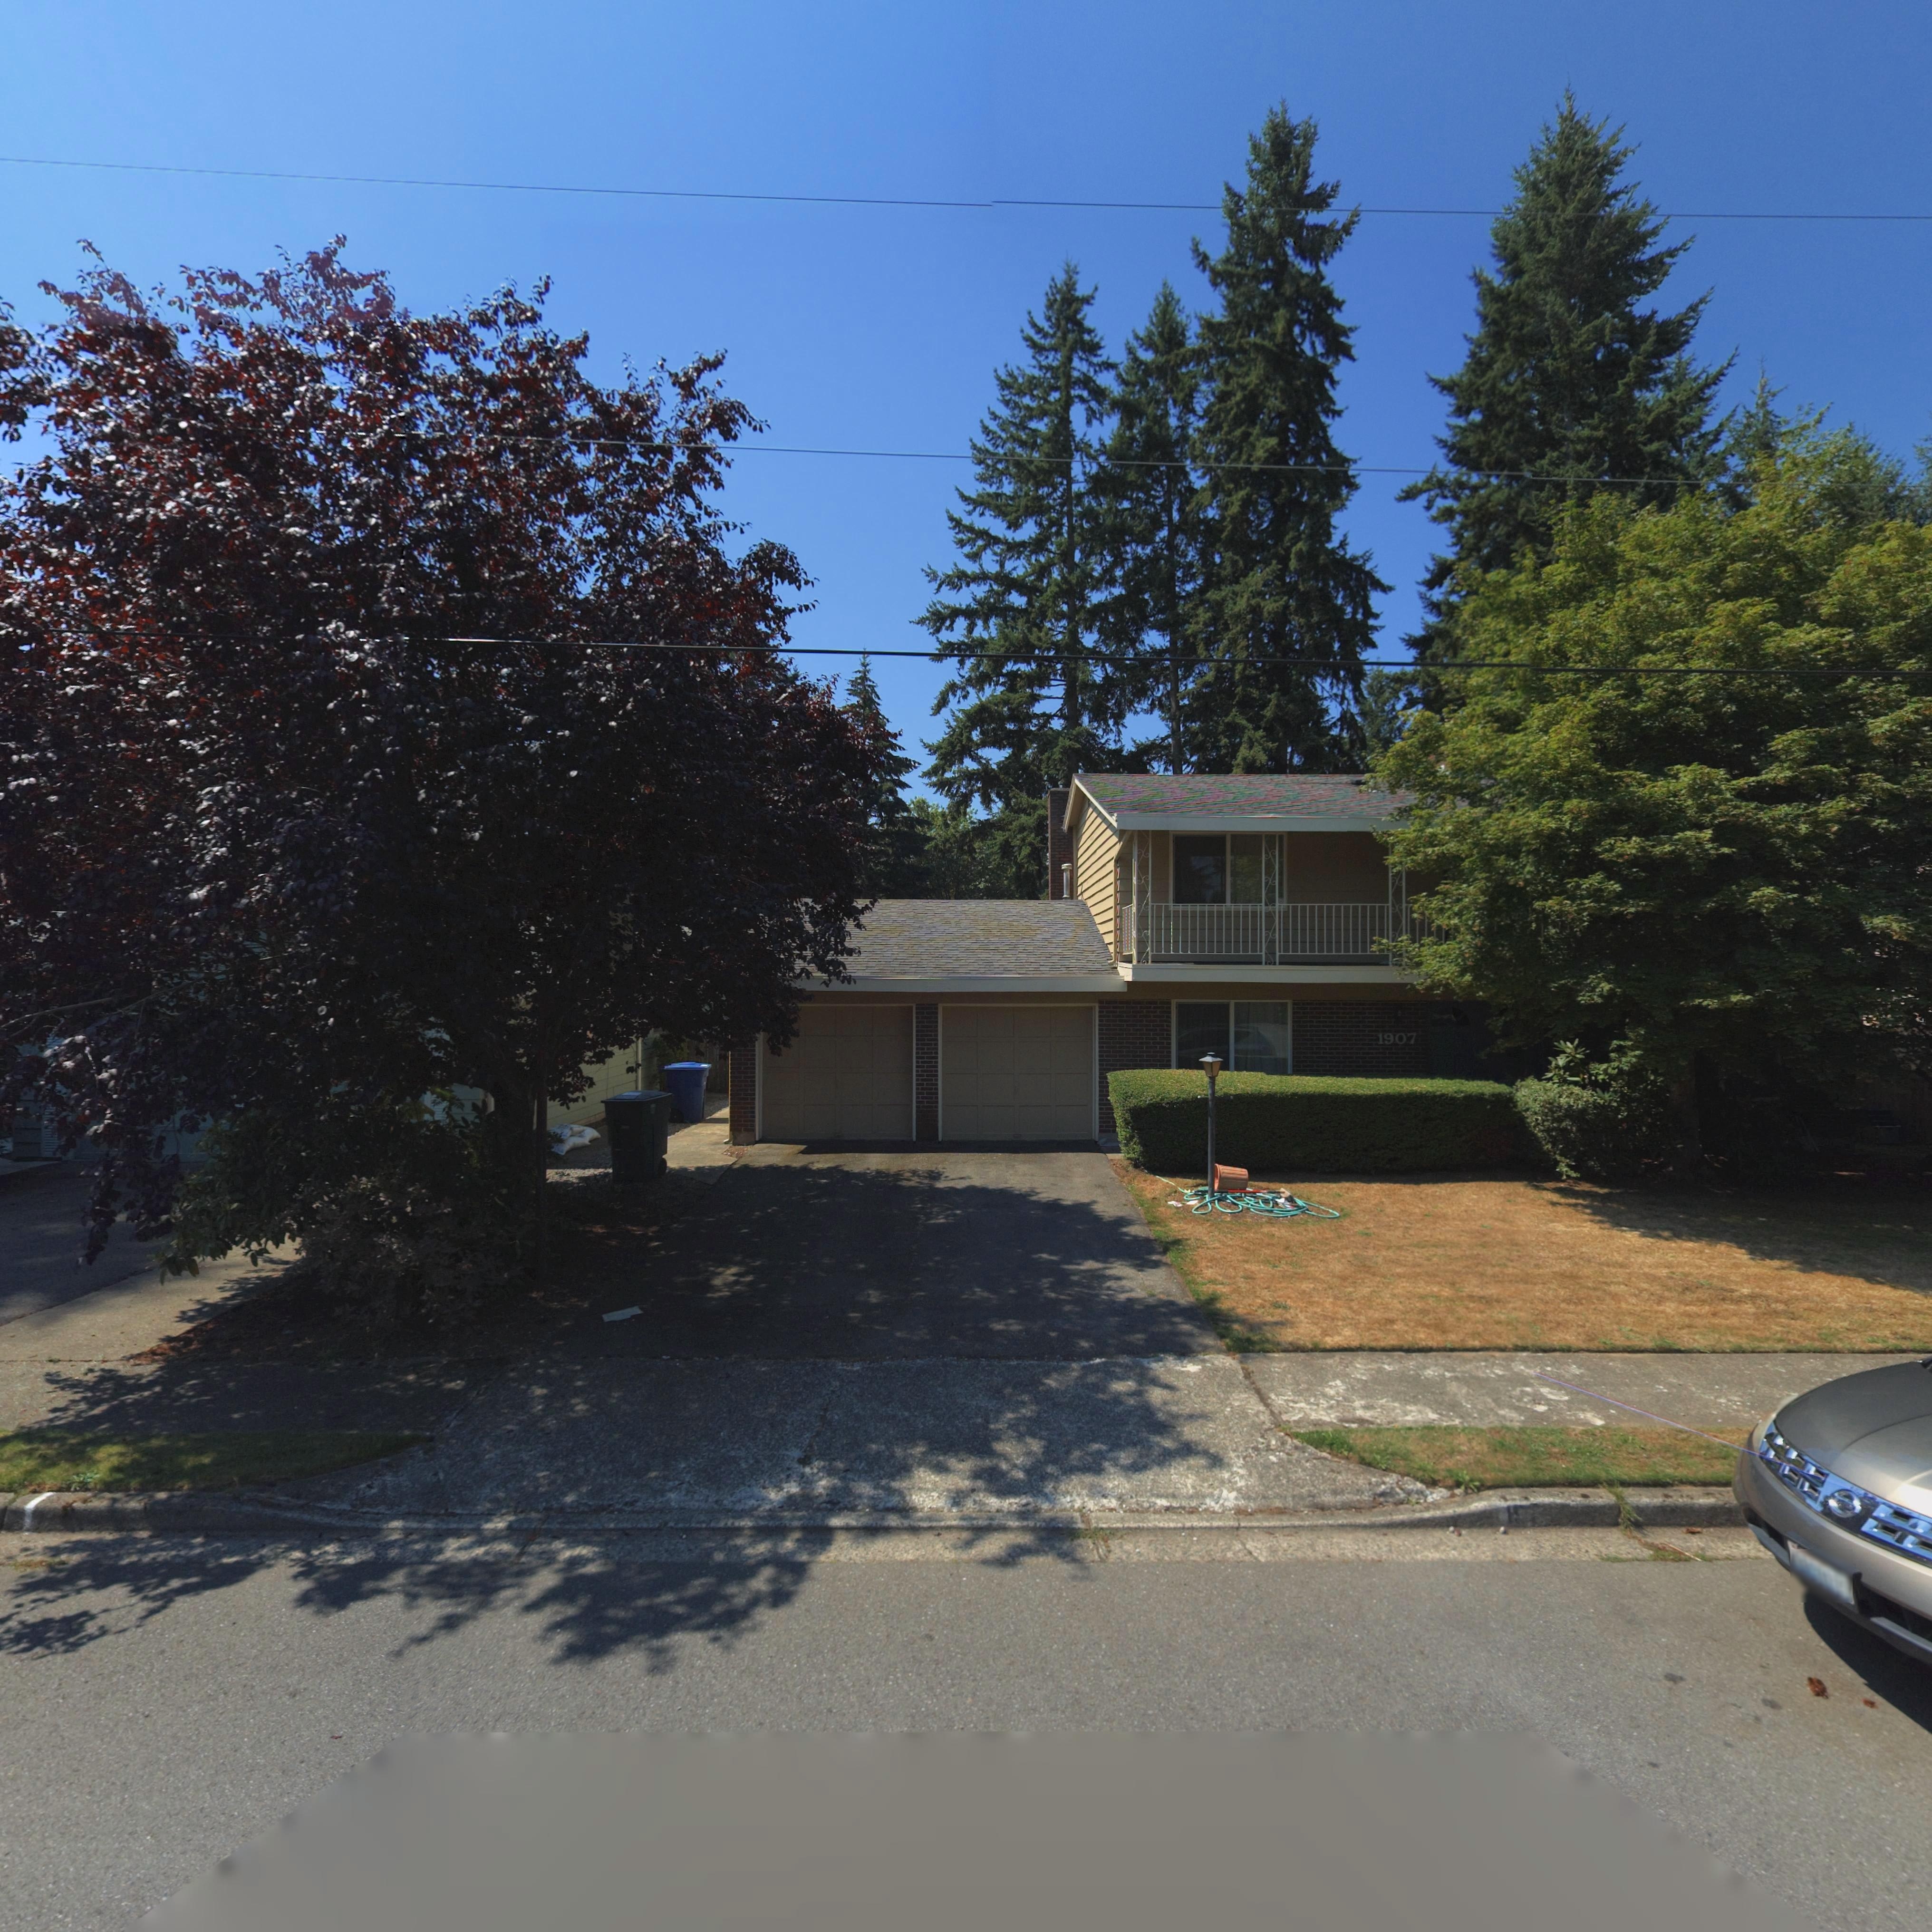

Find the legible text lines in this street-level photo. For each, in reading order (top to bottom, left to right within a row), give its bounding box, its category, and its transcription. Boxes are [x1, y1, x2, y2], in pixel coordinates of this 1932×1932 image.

[1377, 1032, 1418, 1044] StreetNumber: 1907